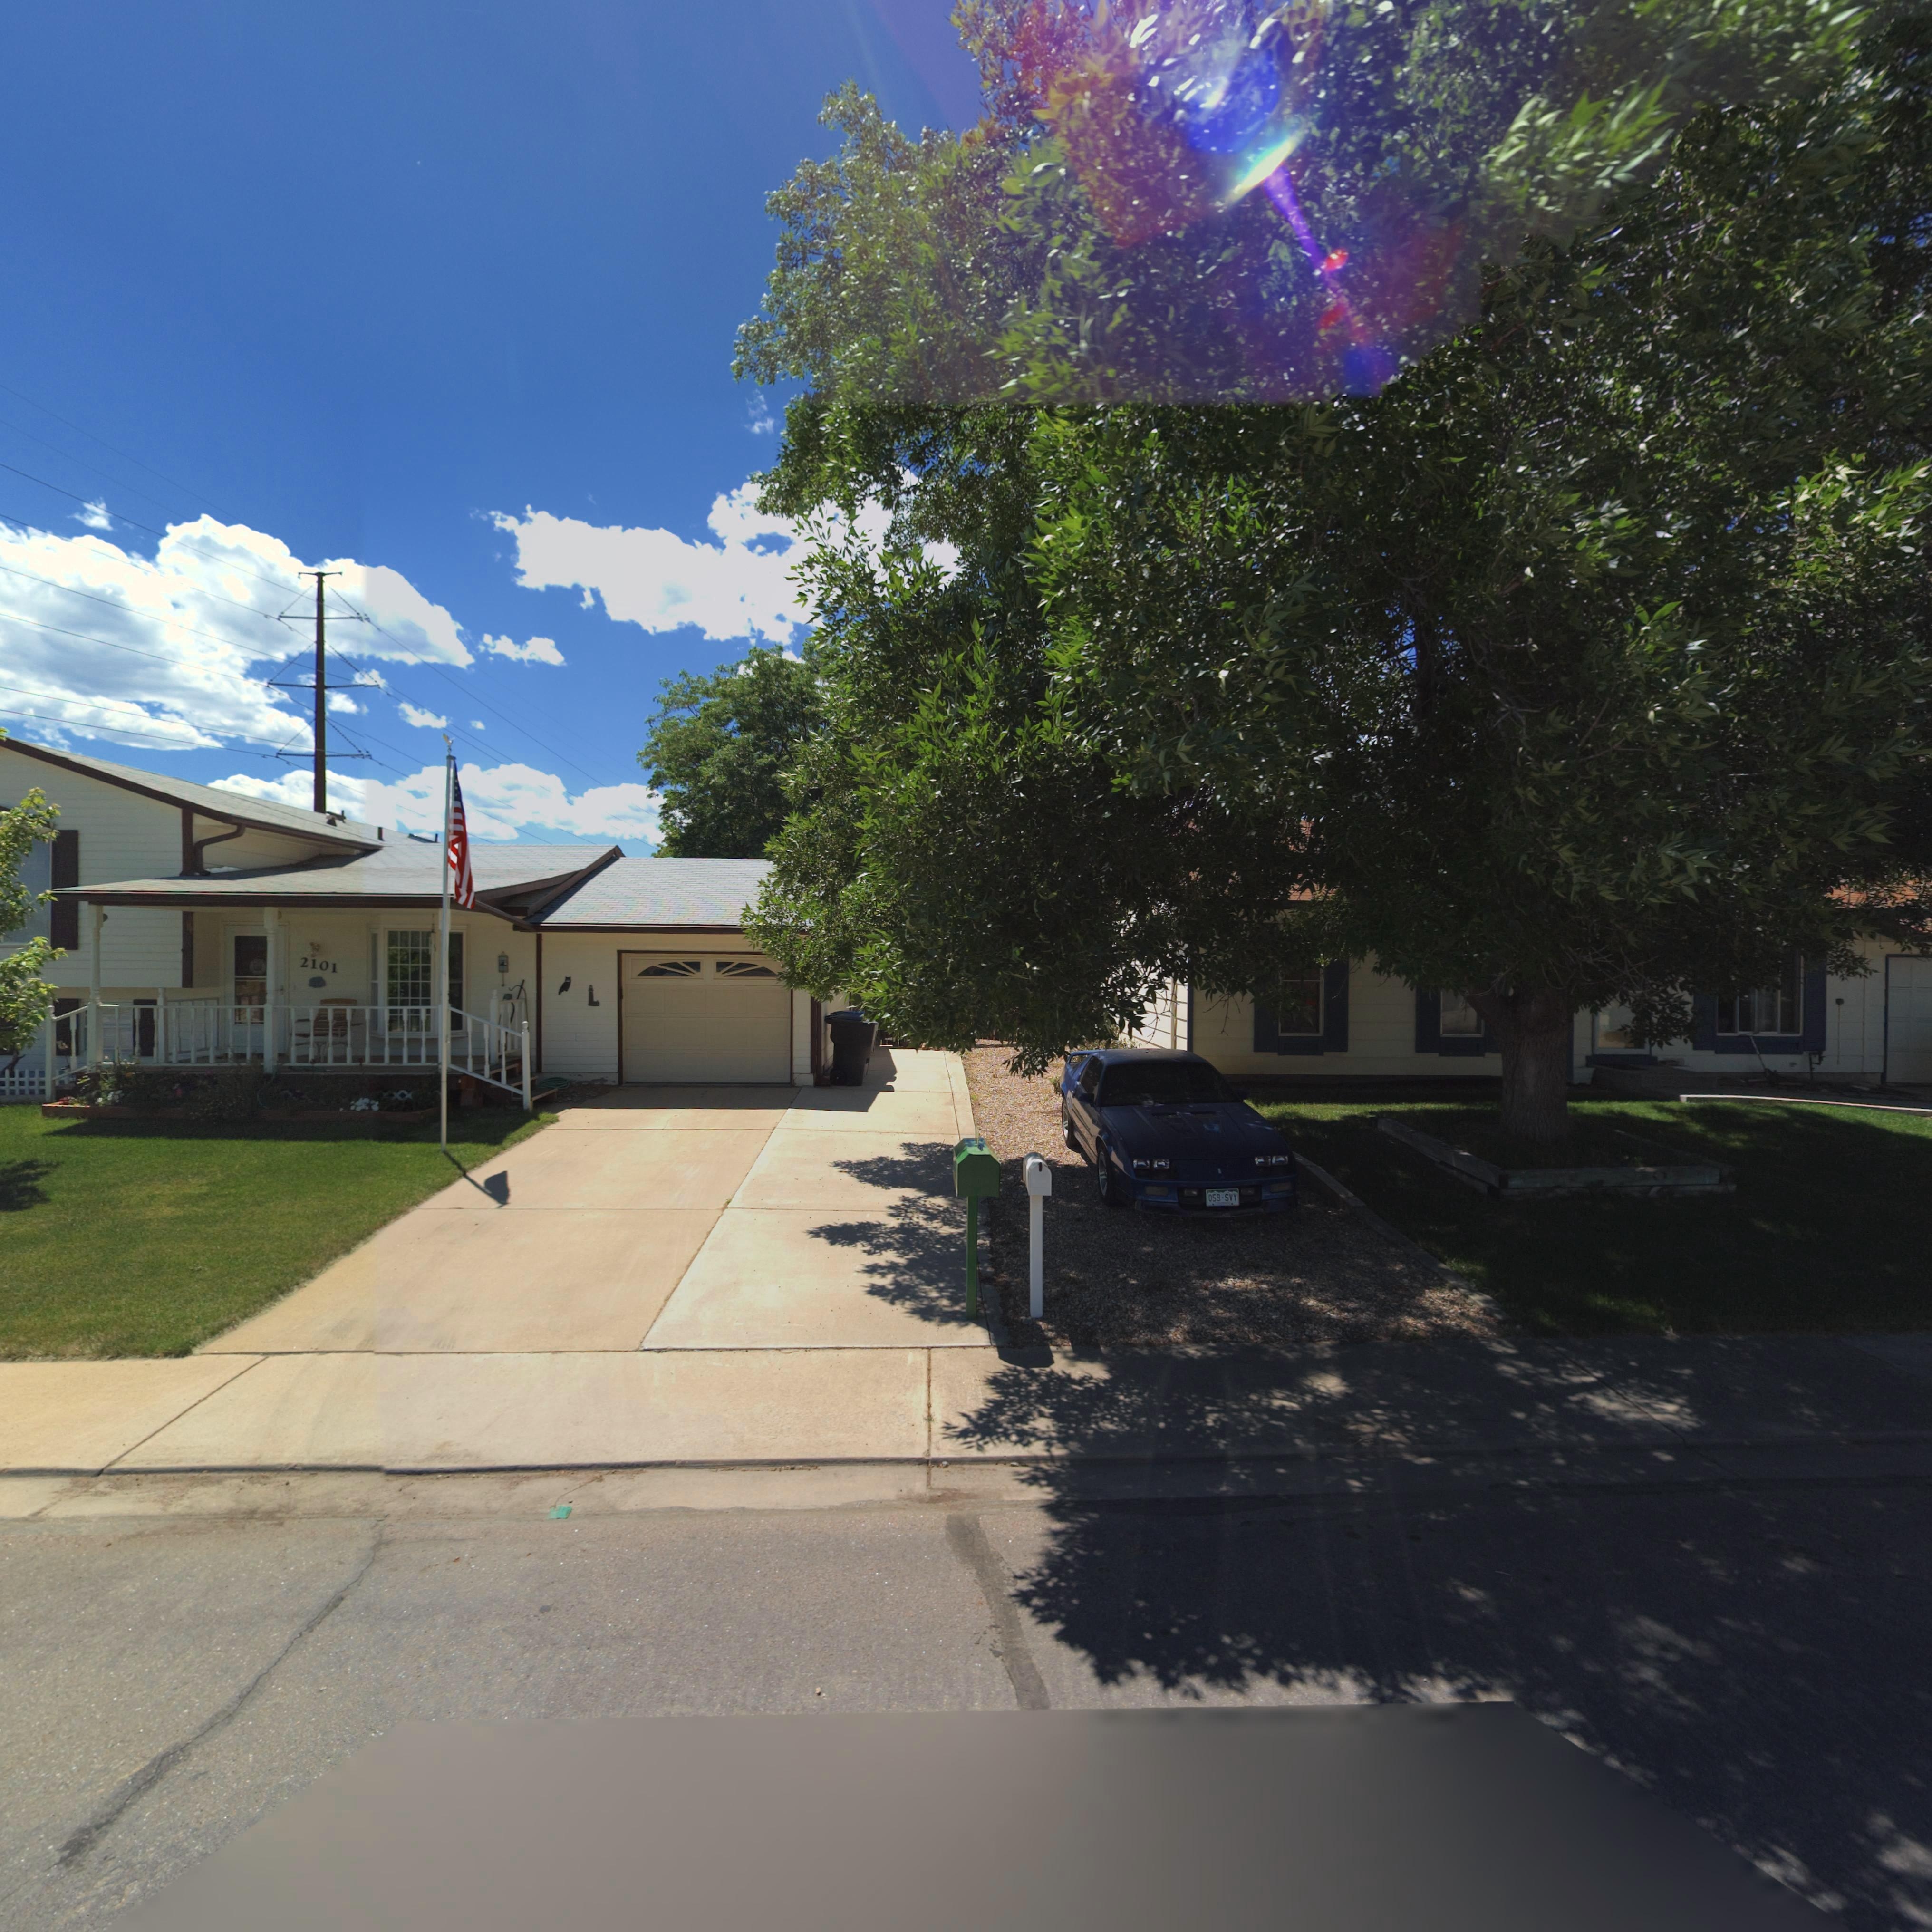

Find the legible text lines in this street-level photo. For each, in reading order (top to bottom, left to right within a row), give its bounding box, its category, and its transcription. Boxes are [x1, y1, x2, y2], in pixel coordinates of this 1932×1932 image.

[299, 956, 338, 973] StreetNumber: 2101